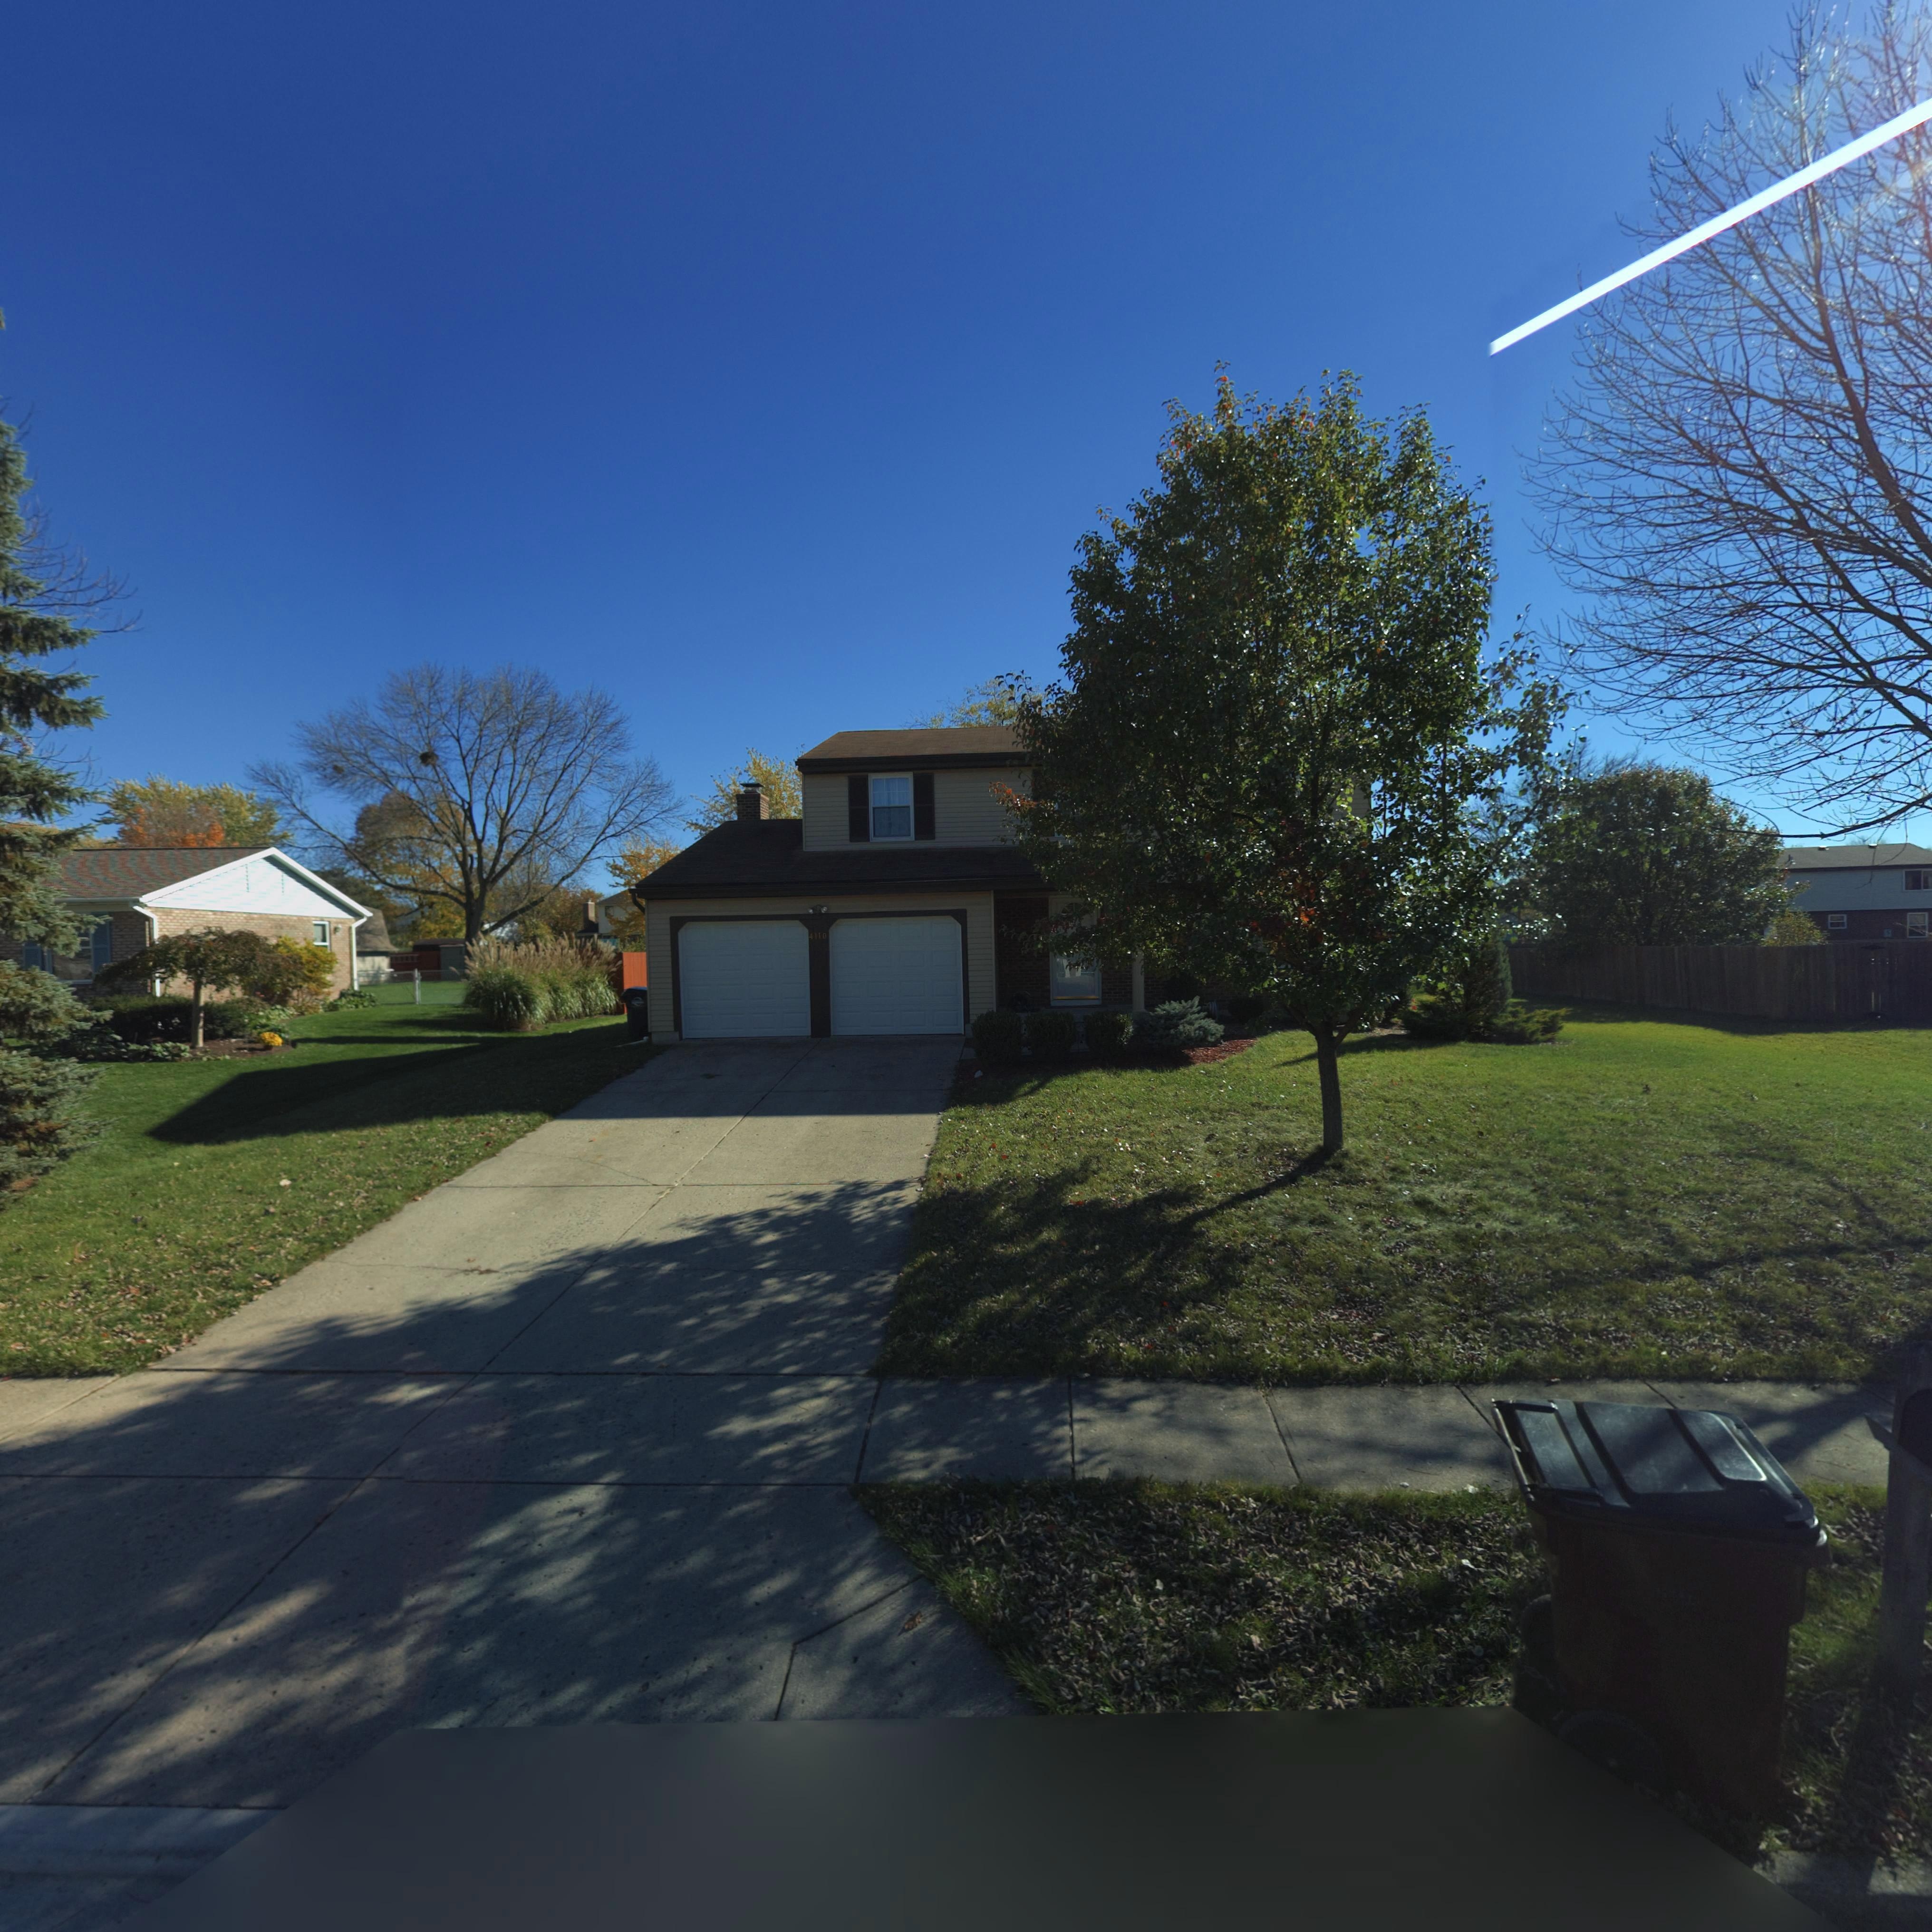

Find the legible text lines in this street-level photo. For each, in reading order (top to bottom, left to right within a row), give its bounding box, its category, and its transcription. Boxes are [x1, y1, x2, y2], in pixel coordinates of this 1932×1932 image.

[809, 932, 827, 940] StreetNumber: 4110